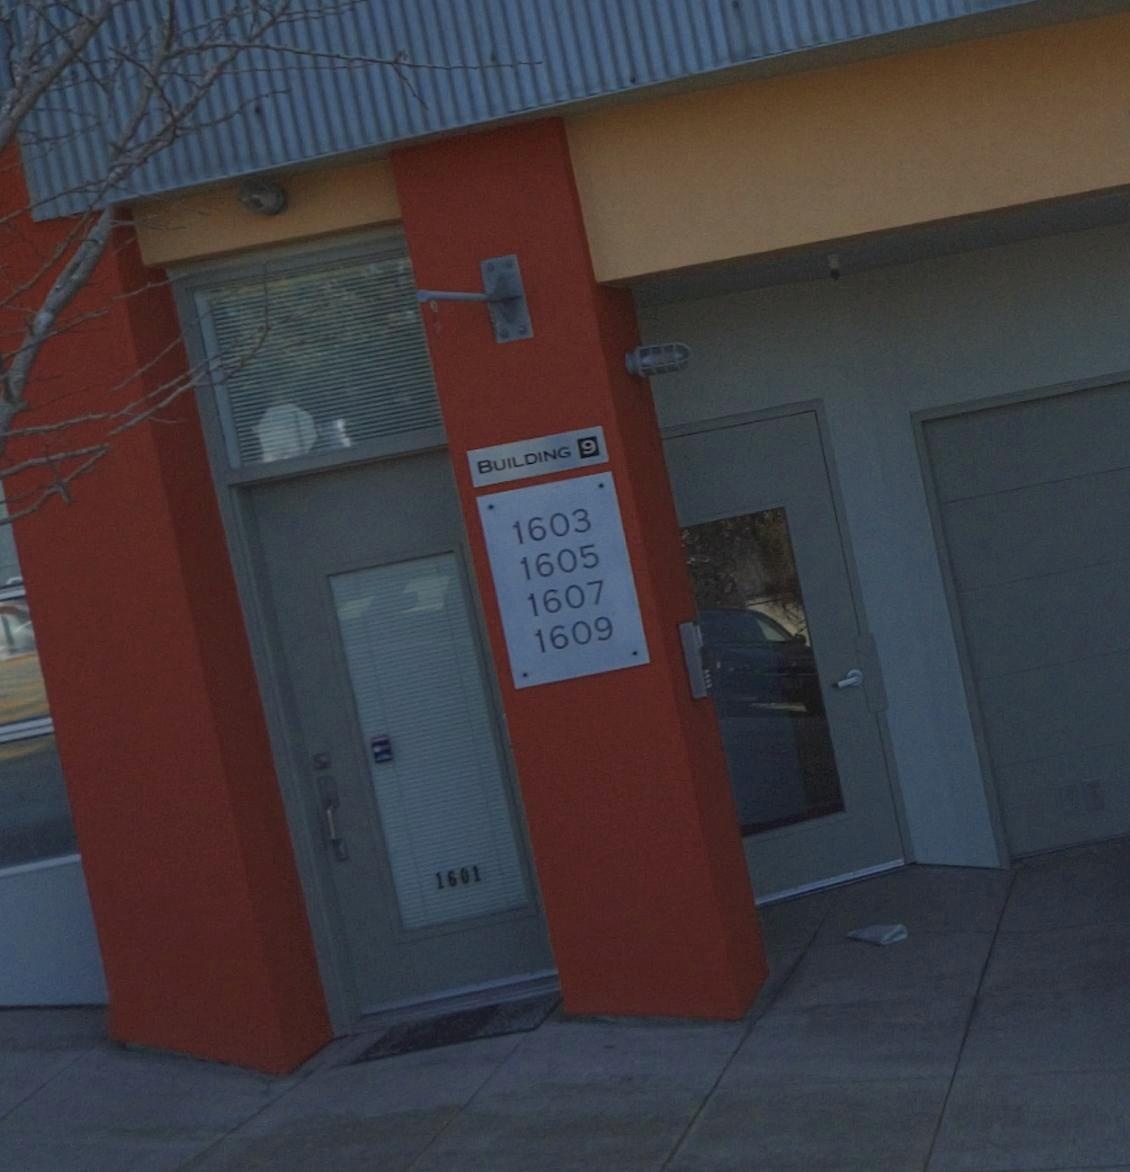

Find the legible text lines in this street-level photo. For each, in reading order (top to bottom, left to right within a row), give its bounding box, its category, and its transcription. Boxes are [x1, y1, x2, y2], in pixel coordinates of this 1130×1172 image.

[475, 445, 572, 477] None: BUILDING
[579, 437, 598, 456] None: 9
[511, 506, 593, 546] StreetNumber: 1603
[519, 542, 601, 582] StreetNumber: 1605
[527, 578, 604, 618] StreetNumber: 1607
[534, 614, 615, 655] StreetNumber: 1609
[434, 864, 483, 892] StreetNumber: 1601